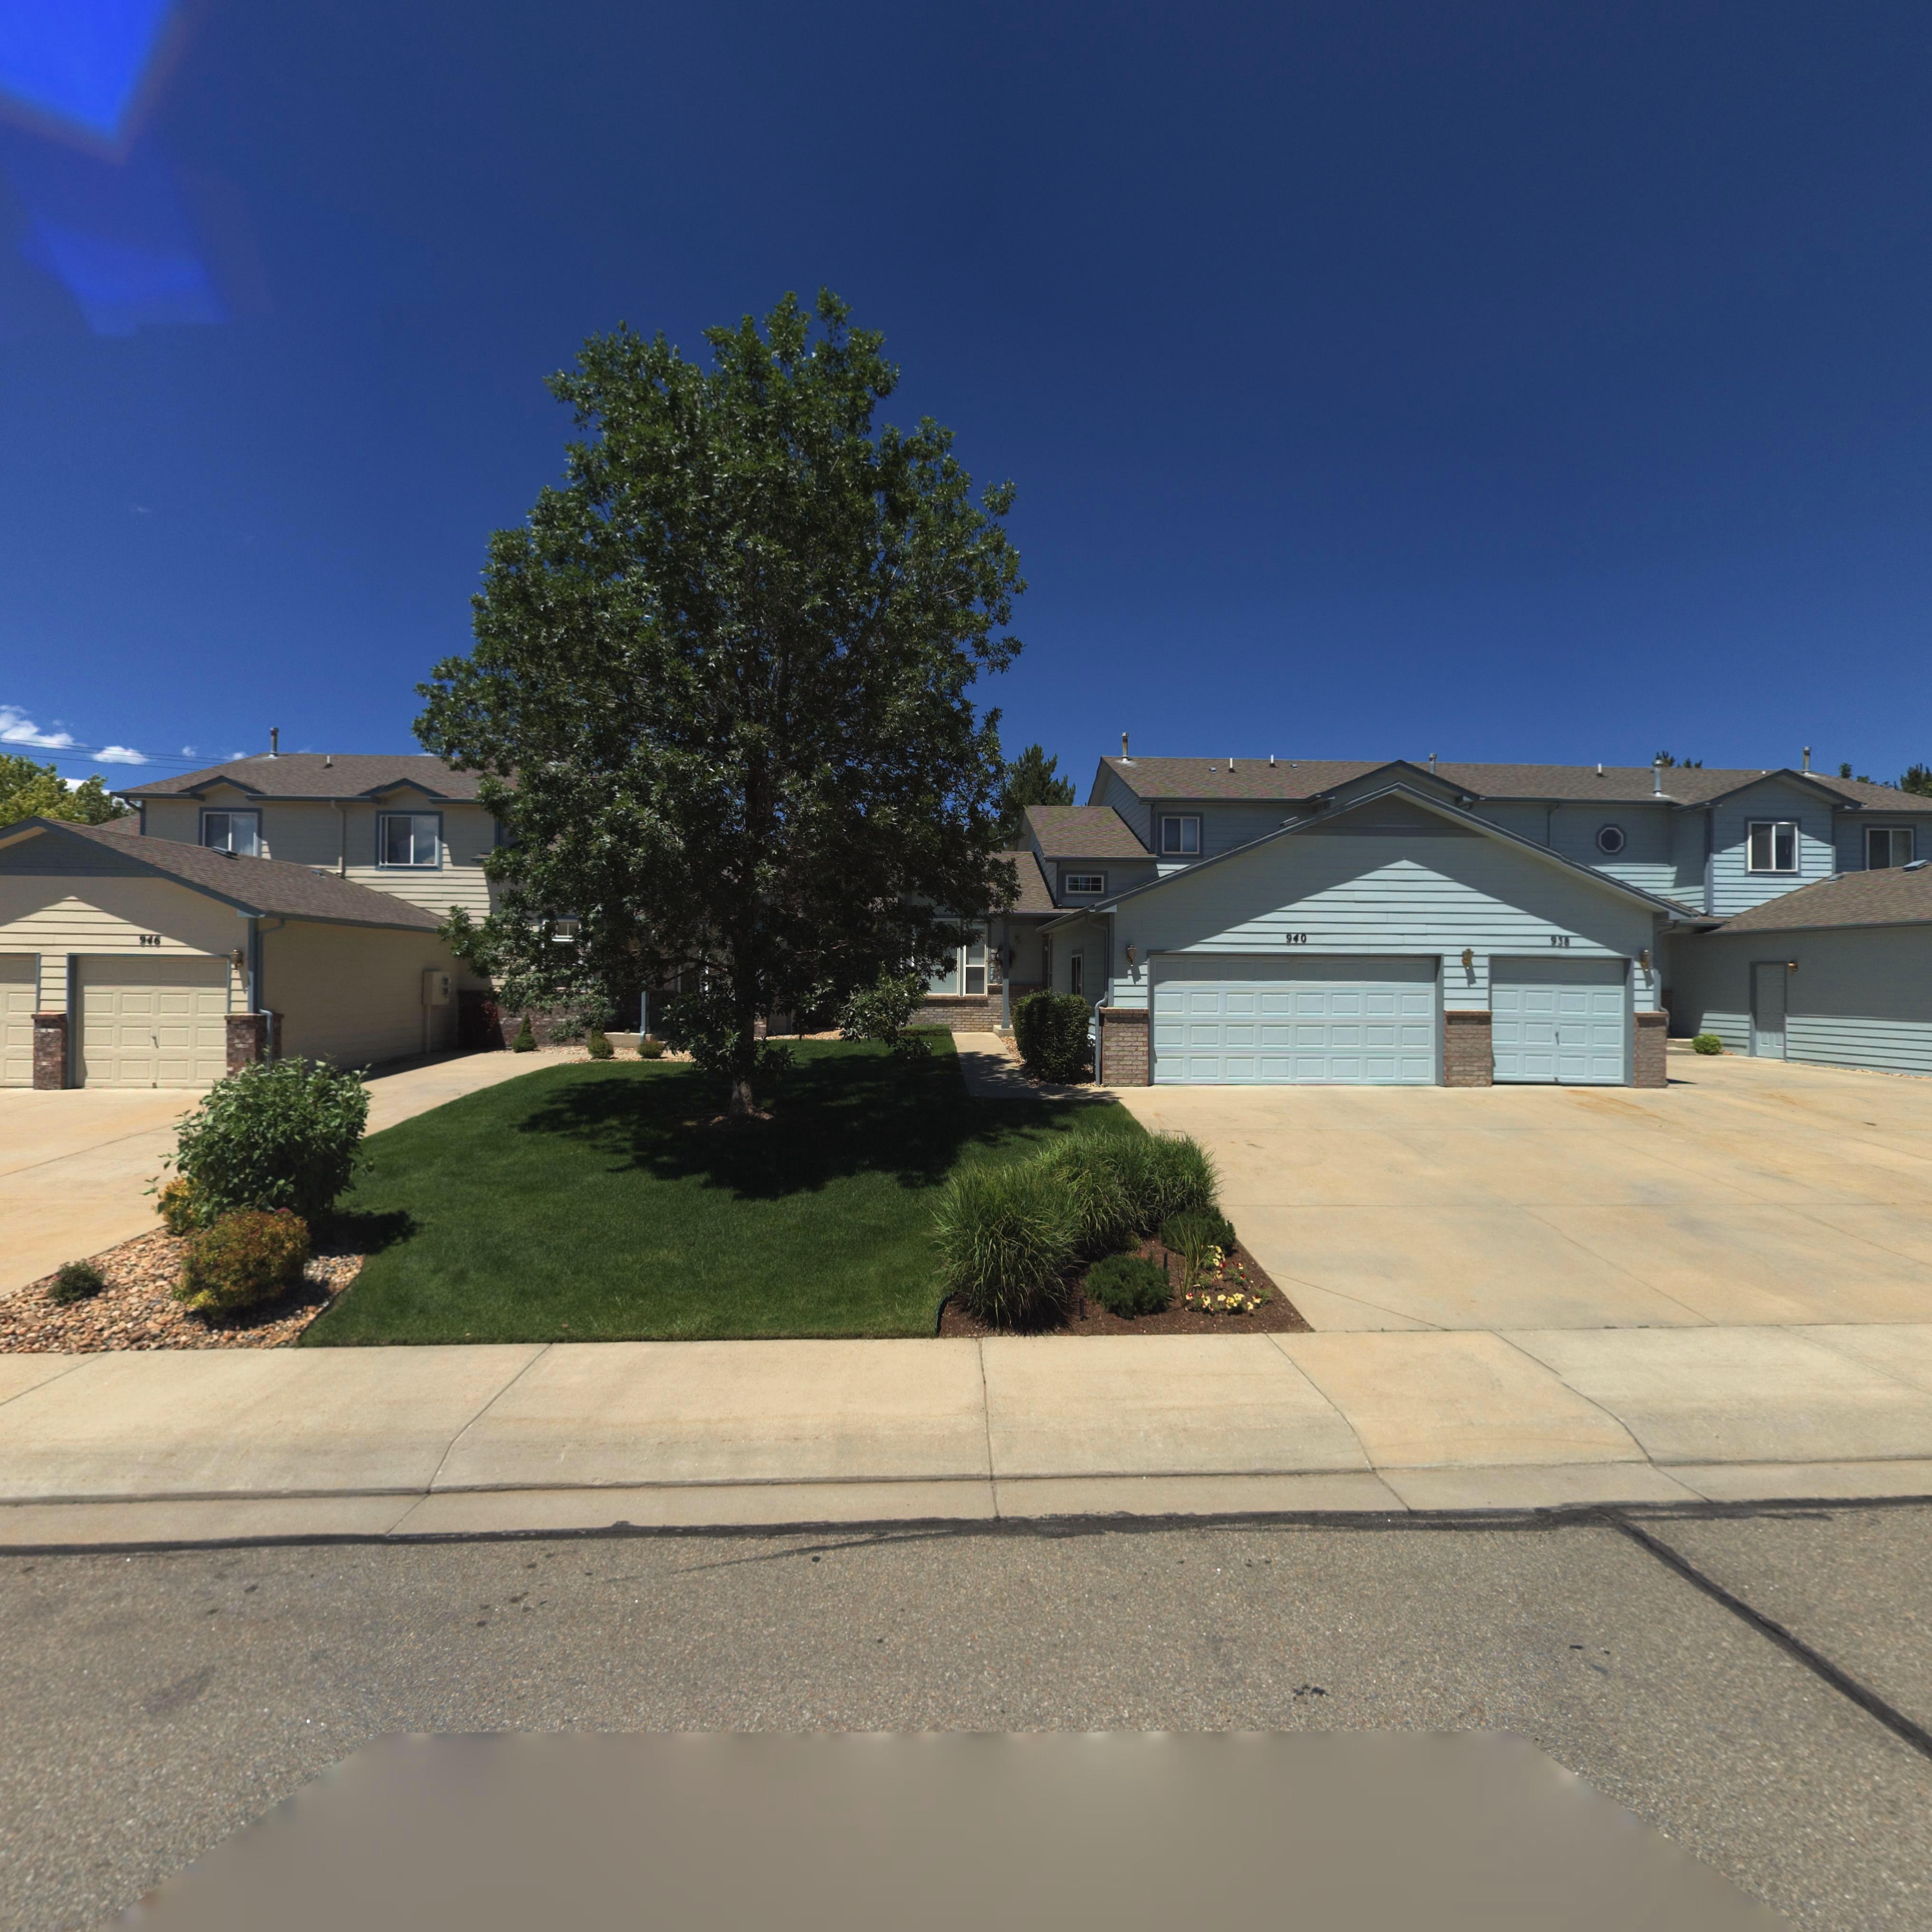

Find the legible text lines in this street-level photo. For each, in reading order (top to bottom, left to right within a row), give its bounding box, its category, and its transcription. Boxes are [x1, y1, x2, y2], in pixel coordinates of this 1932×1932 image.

[138, 934, 160, 945] StreetNumber: 946
[1285, 933, 1306, 943] StreetNumber: 940
[1549, 936, 1570, 947] StreetNumber: 938